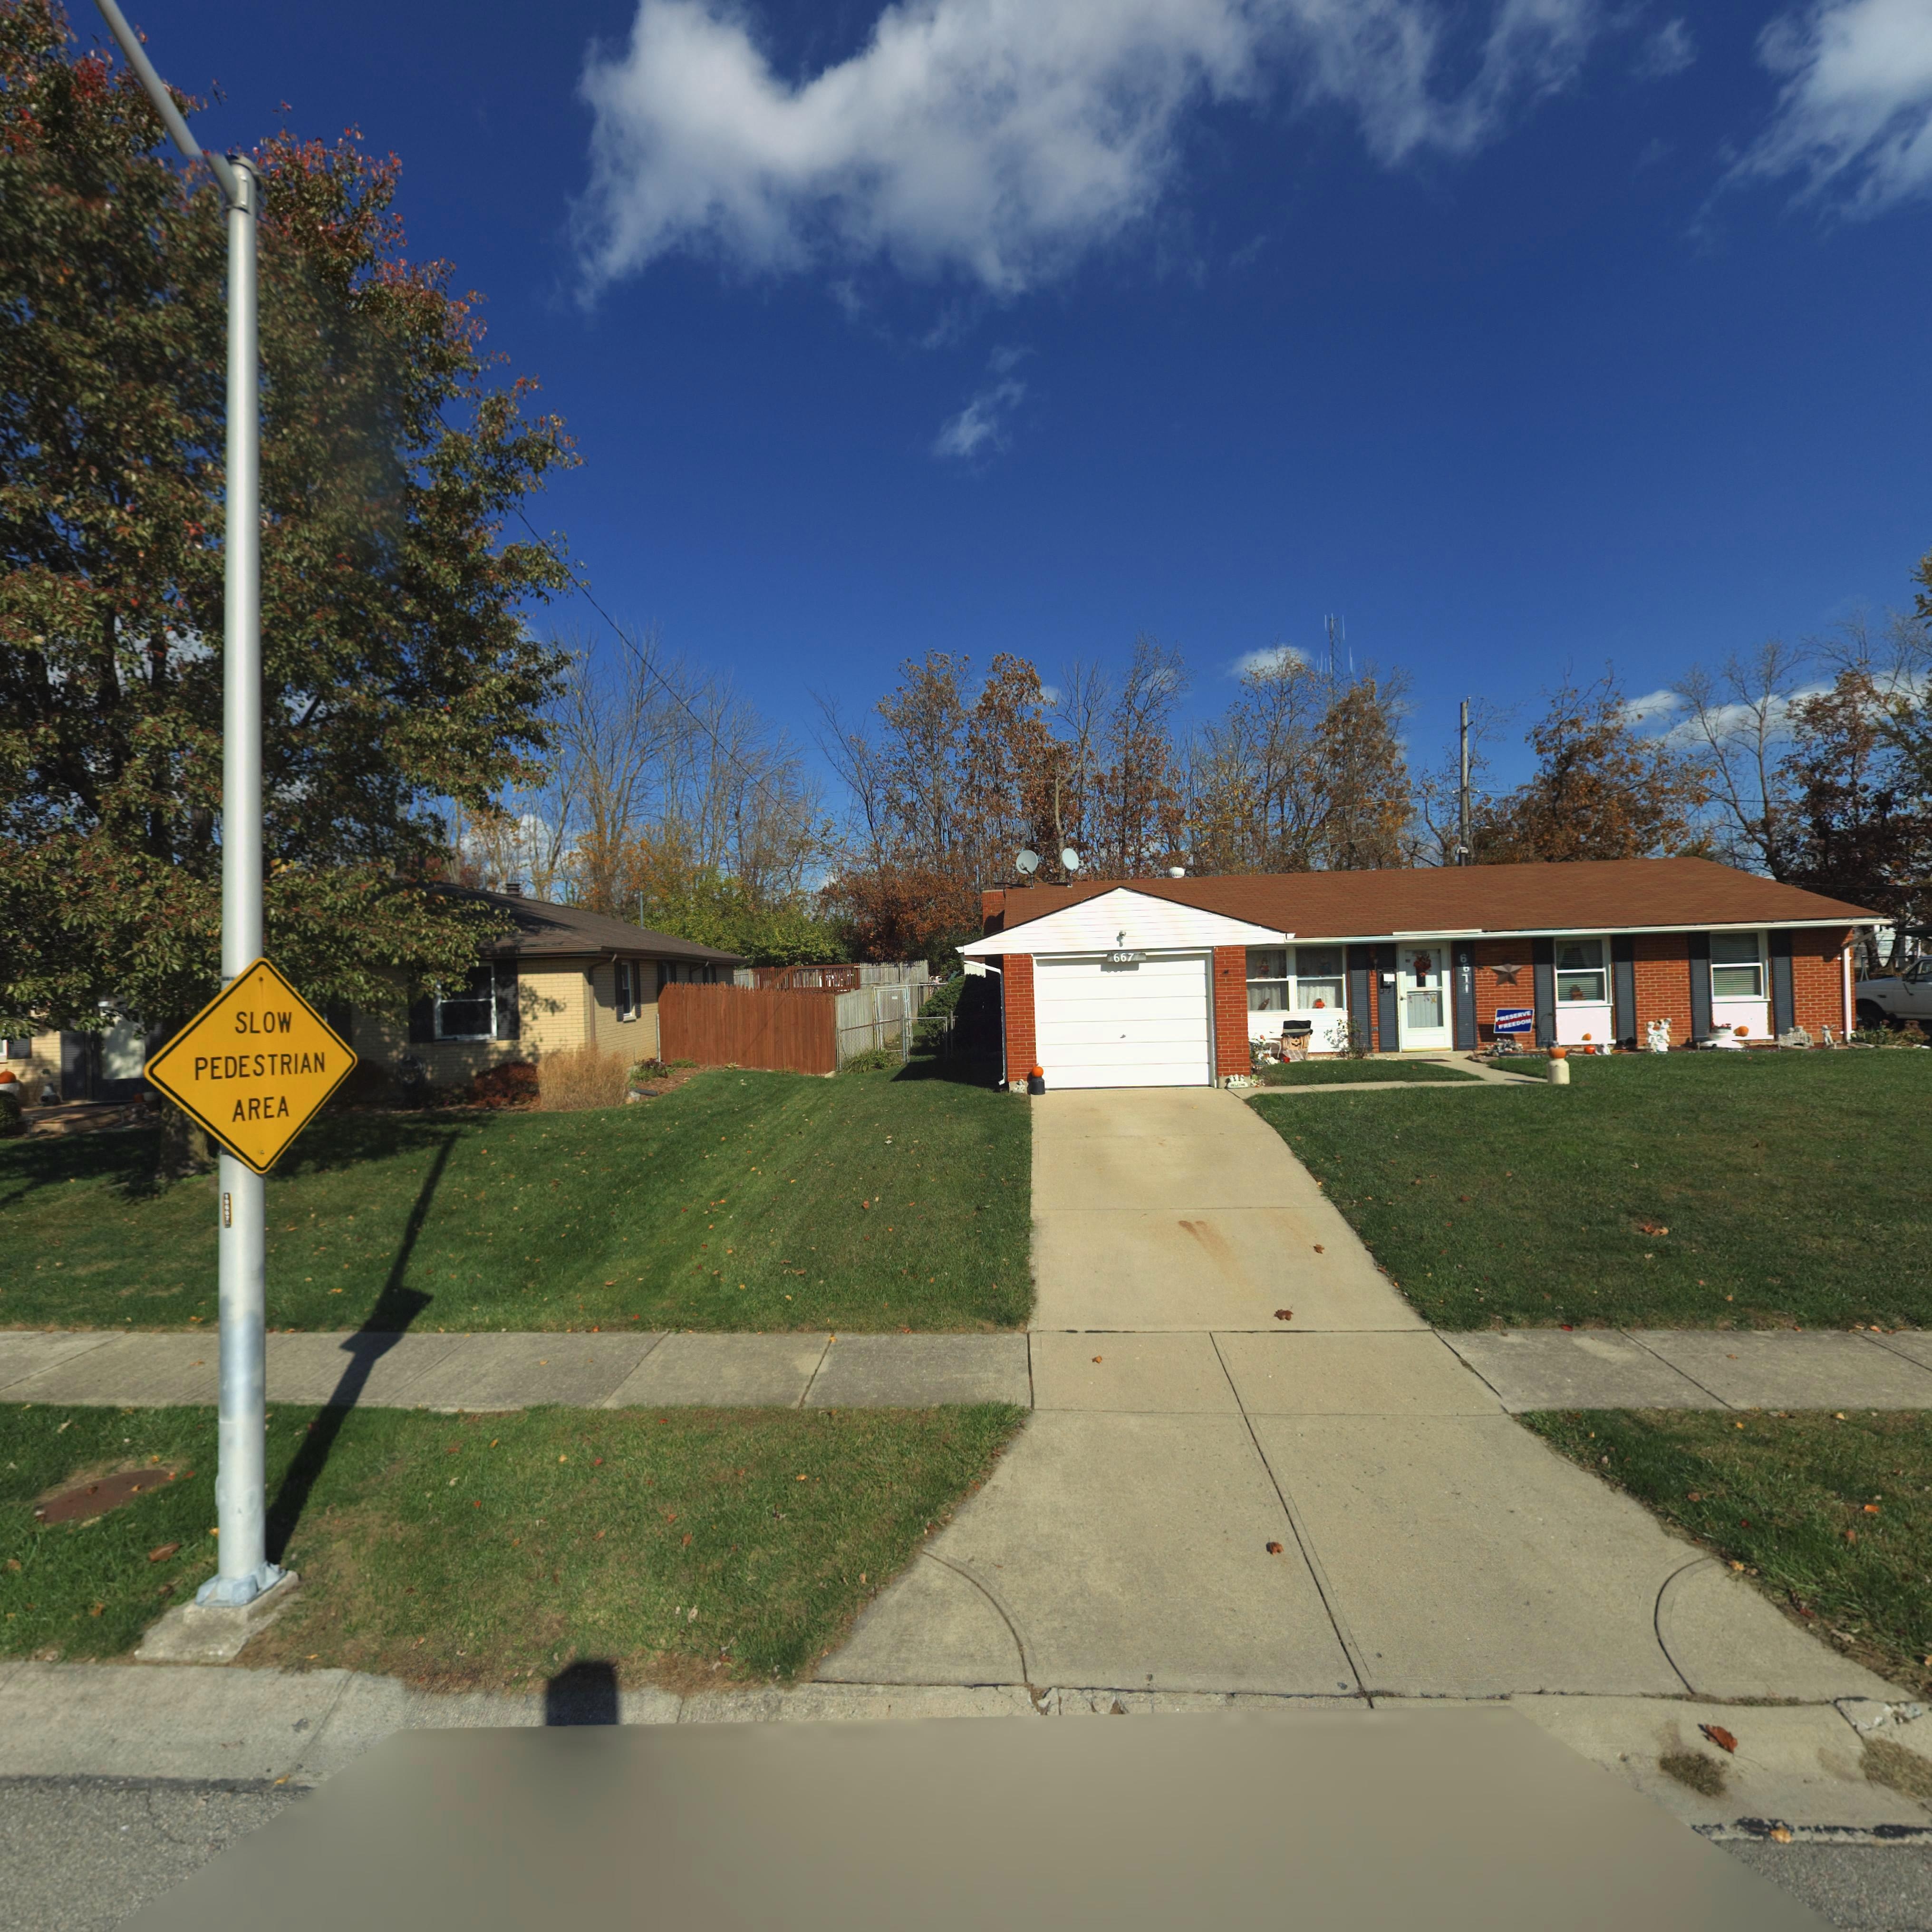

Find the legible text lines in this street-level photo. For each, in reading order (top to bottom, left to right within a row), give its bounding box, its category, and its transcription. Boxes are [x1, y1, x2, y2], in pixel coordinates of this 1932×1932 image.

[1113, 952, 1135, 963] StreetNumber: 667
[1459, 953, 1470, 994] StreetNumber: 6671